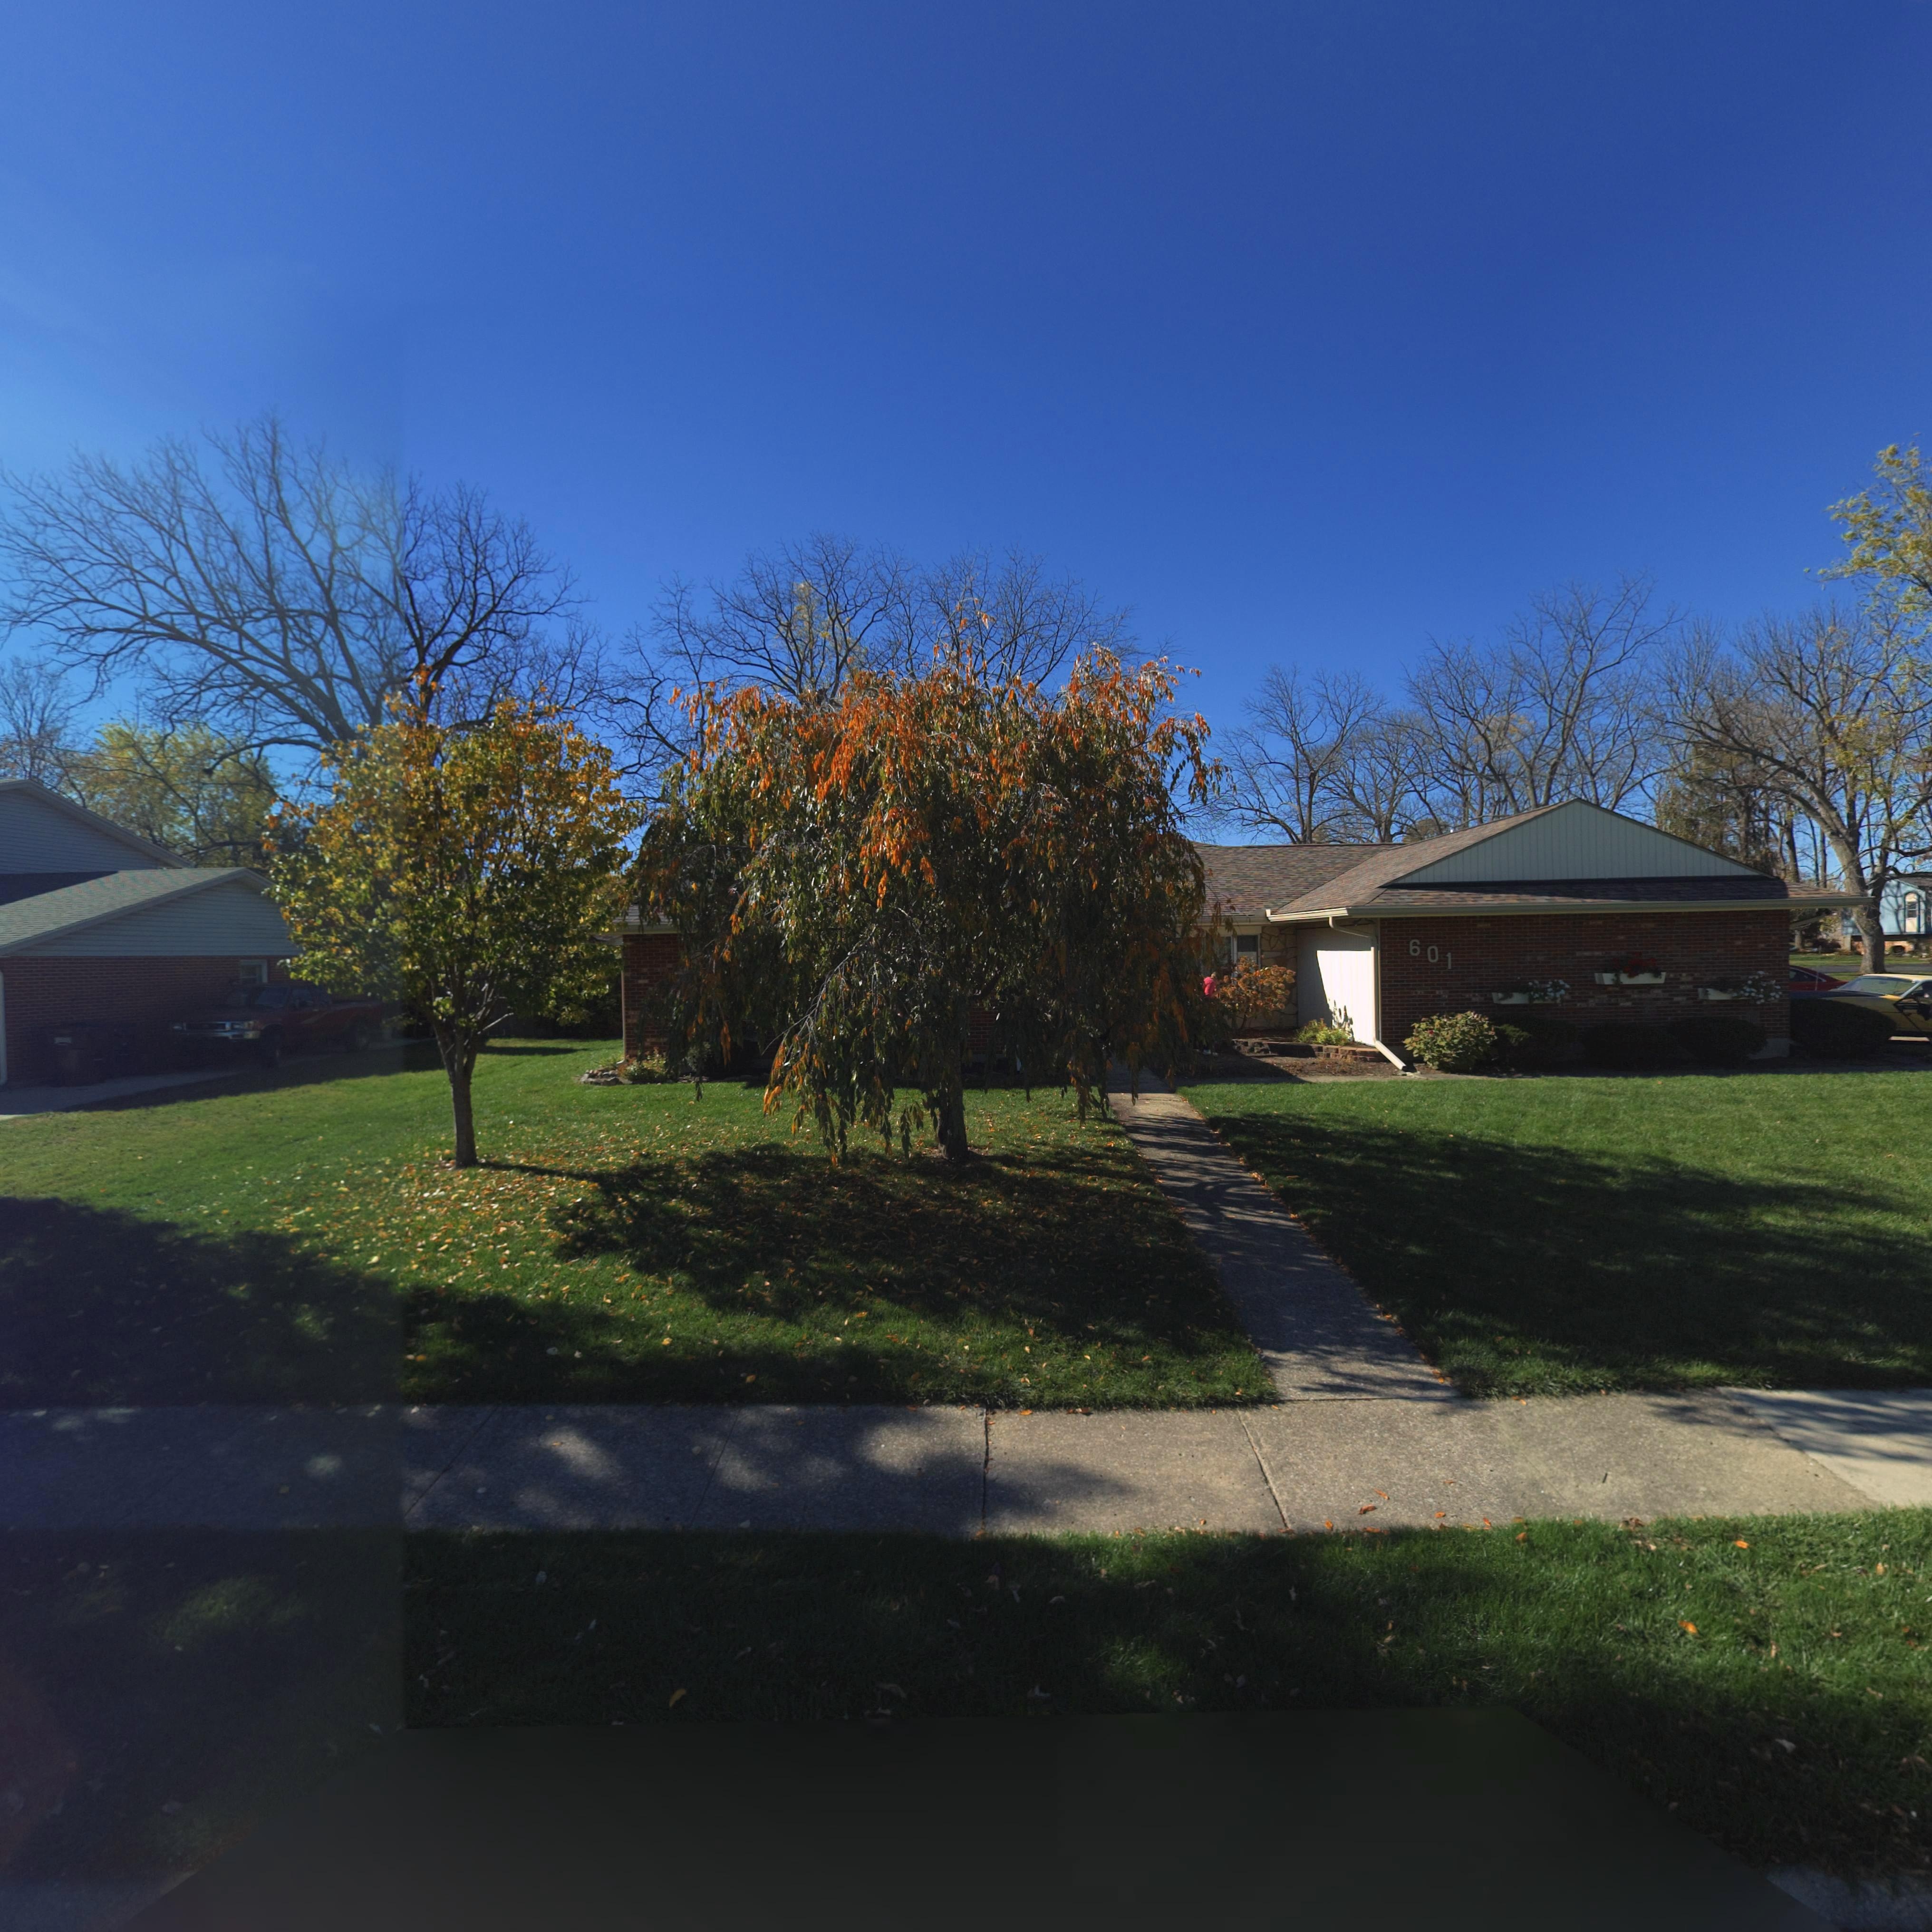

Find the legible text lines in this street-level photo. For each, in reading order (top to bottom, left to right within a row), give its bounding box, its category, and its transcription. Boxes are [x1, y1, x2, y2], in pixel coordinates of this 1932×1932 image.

[1409, 938, 1452, 970] StreetNumber: 601